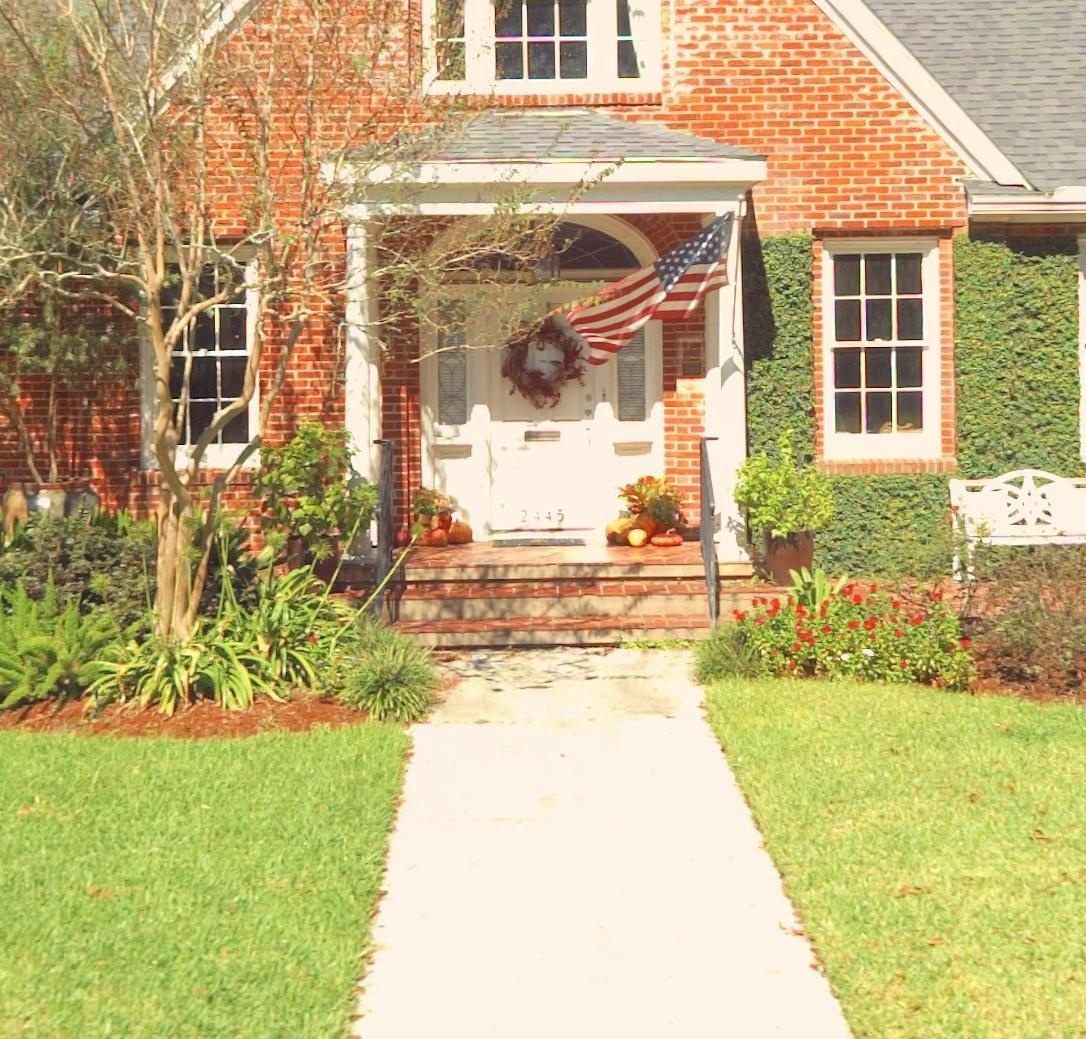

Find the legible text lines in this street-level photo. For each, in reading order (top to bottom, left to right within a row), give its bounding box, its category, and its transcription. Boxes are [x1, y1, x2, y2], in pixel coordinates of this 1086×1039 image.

[519, 507, 567, 525] StreetNumber: 2445